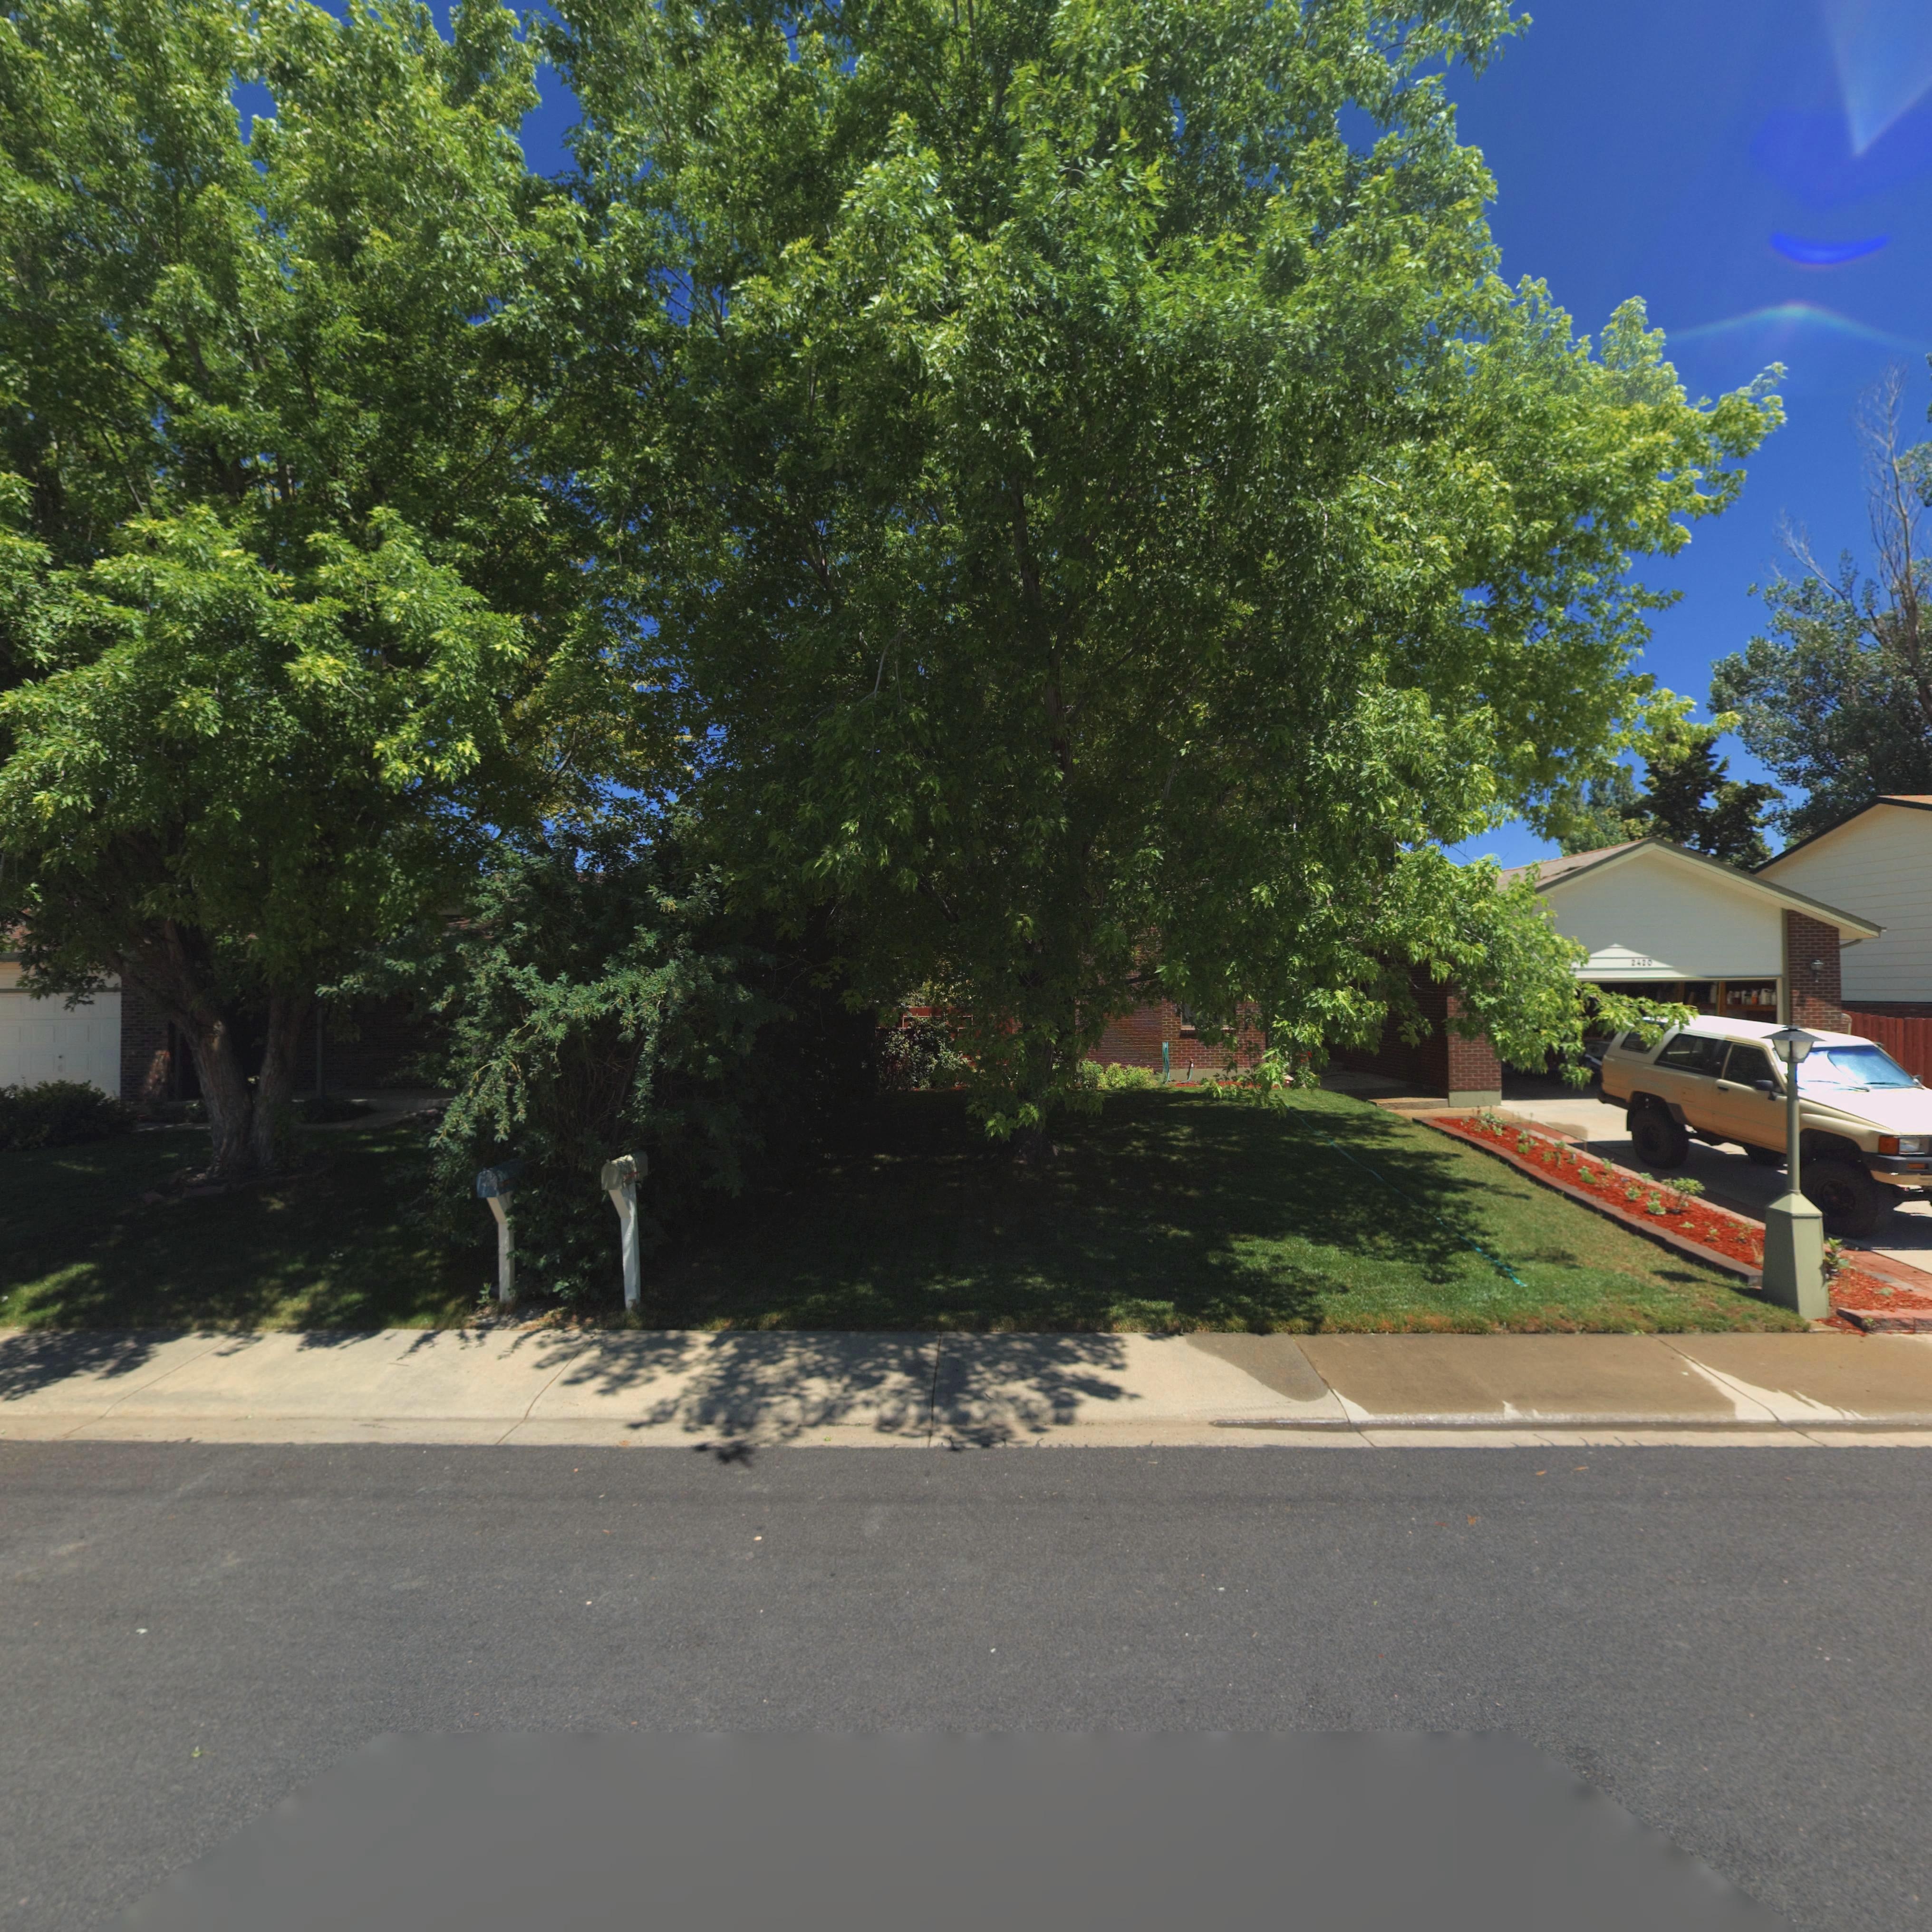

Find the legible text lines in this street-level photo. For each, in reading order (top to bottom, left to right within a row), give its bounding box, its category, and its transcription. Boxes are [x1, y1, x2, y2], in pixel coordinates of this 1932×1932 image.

[1631, 959, 1652, 966] StreetNumber: 2420